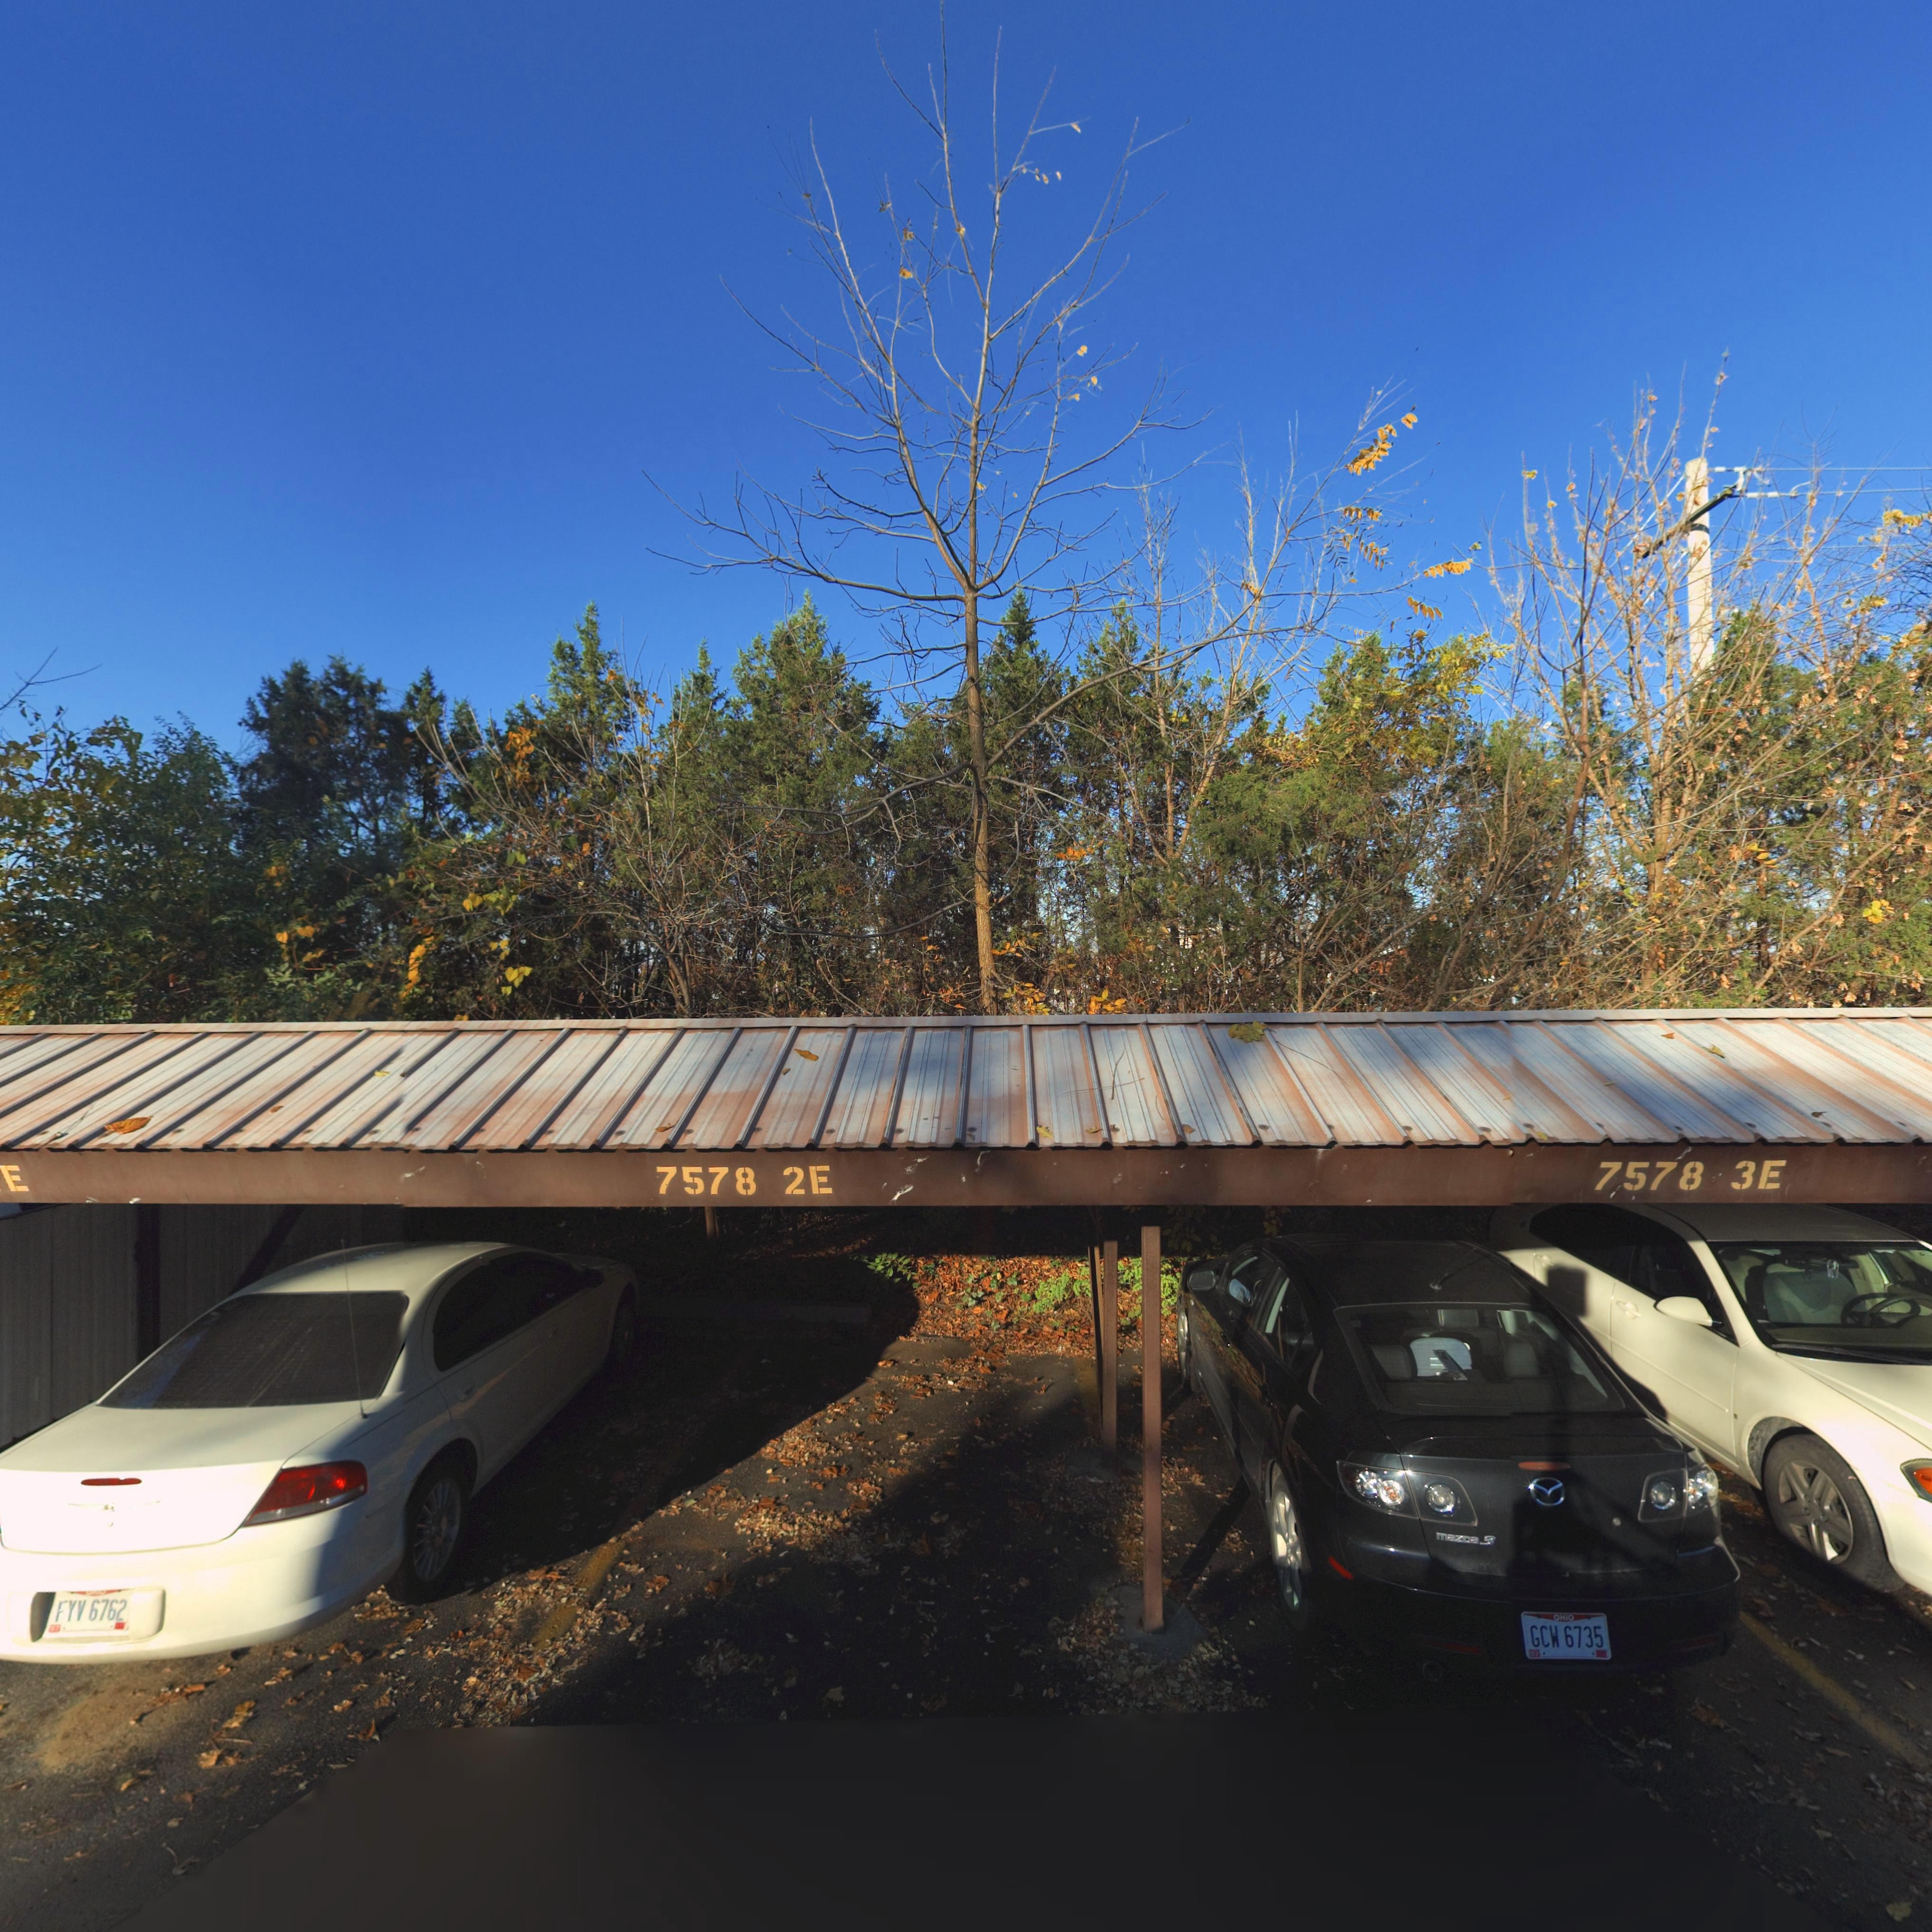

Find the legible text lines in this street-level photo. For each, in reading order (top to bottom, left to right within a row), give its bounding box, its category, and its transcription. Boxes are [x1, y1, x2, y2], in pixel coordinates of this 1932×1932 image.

[656, 1166, 757, 1197] StreetNumber: 7578
[1593, 1160, 1705, 1192] StreetNumber: 7578